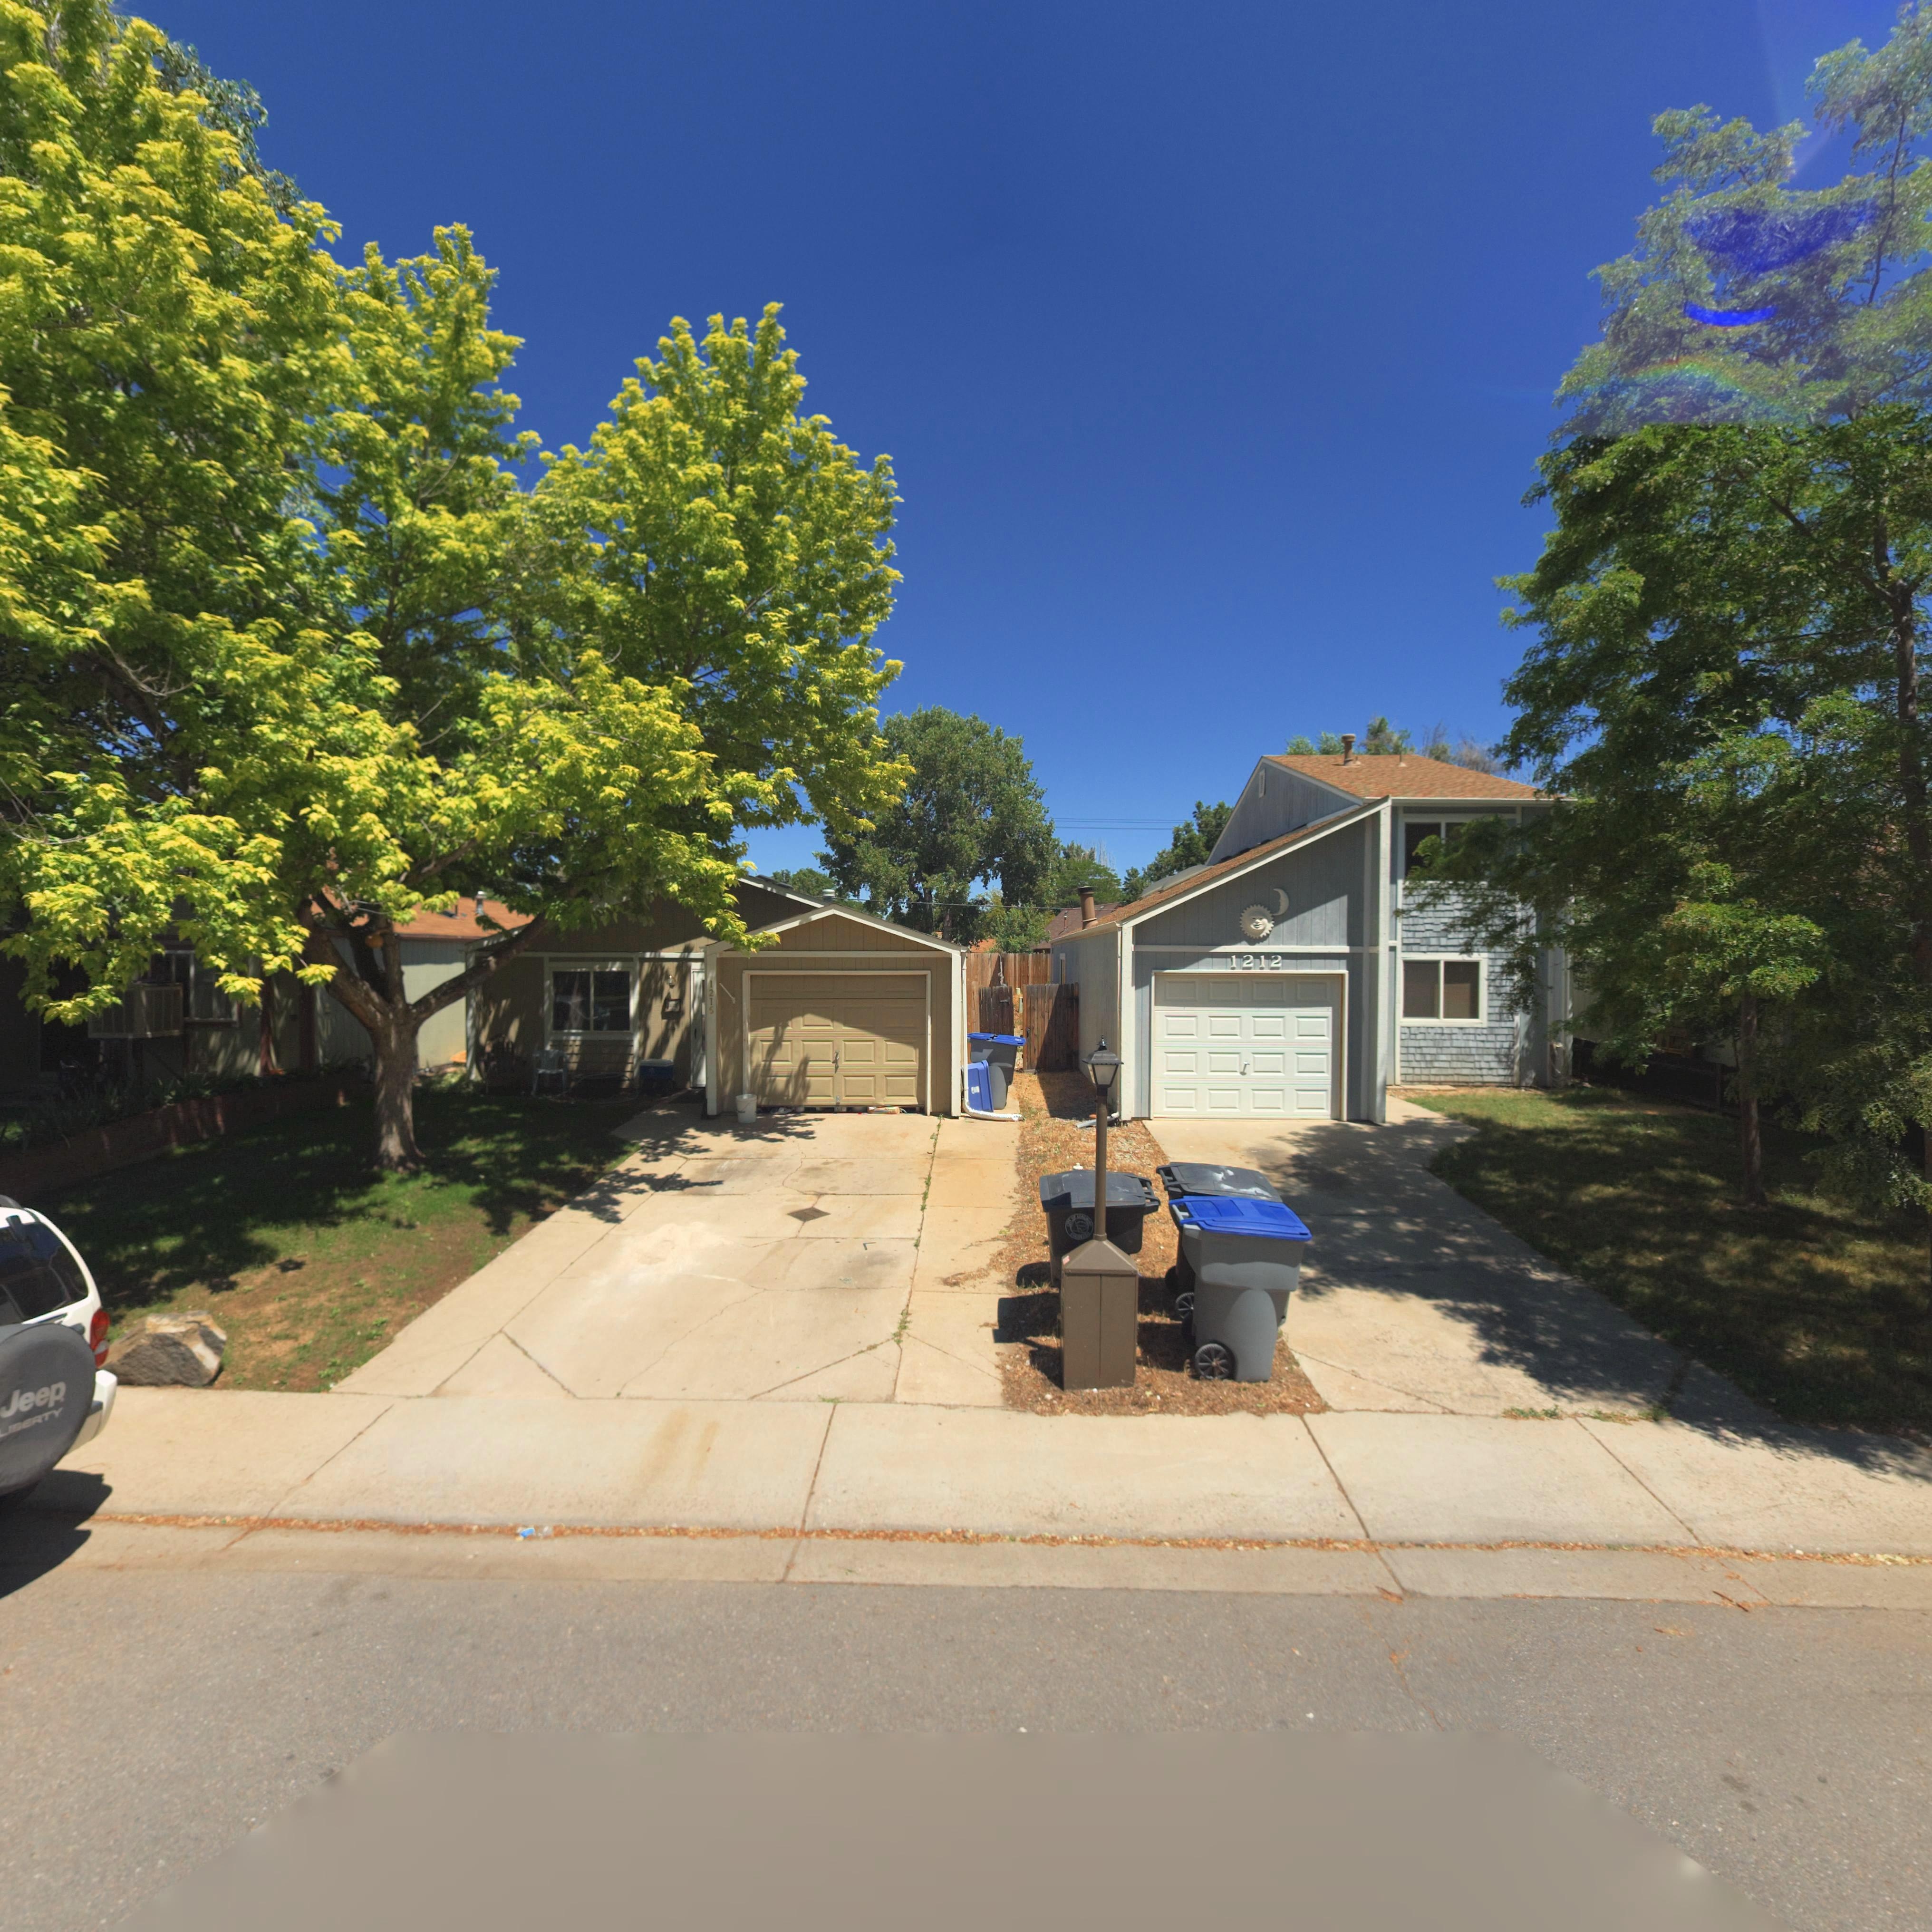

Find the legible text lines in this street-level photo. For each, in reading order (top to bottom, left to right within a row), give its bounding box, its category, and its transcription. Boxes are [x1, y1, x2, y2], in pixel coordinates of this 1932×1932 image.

[1230, 955, 1282, 967] StreetNumber: 1212
[708, 980, 714, 1014] StreetNumber: 1216